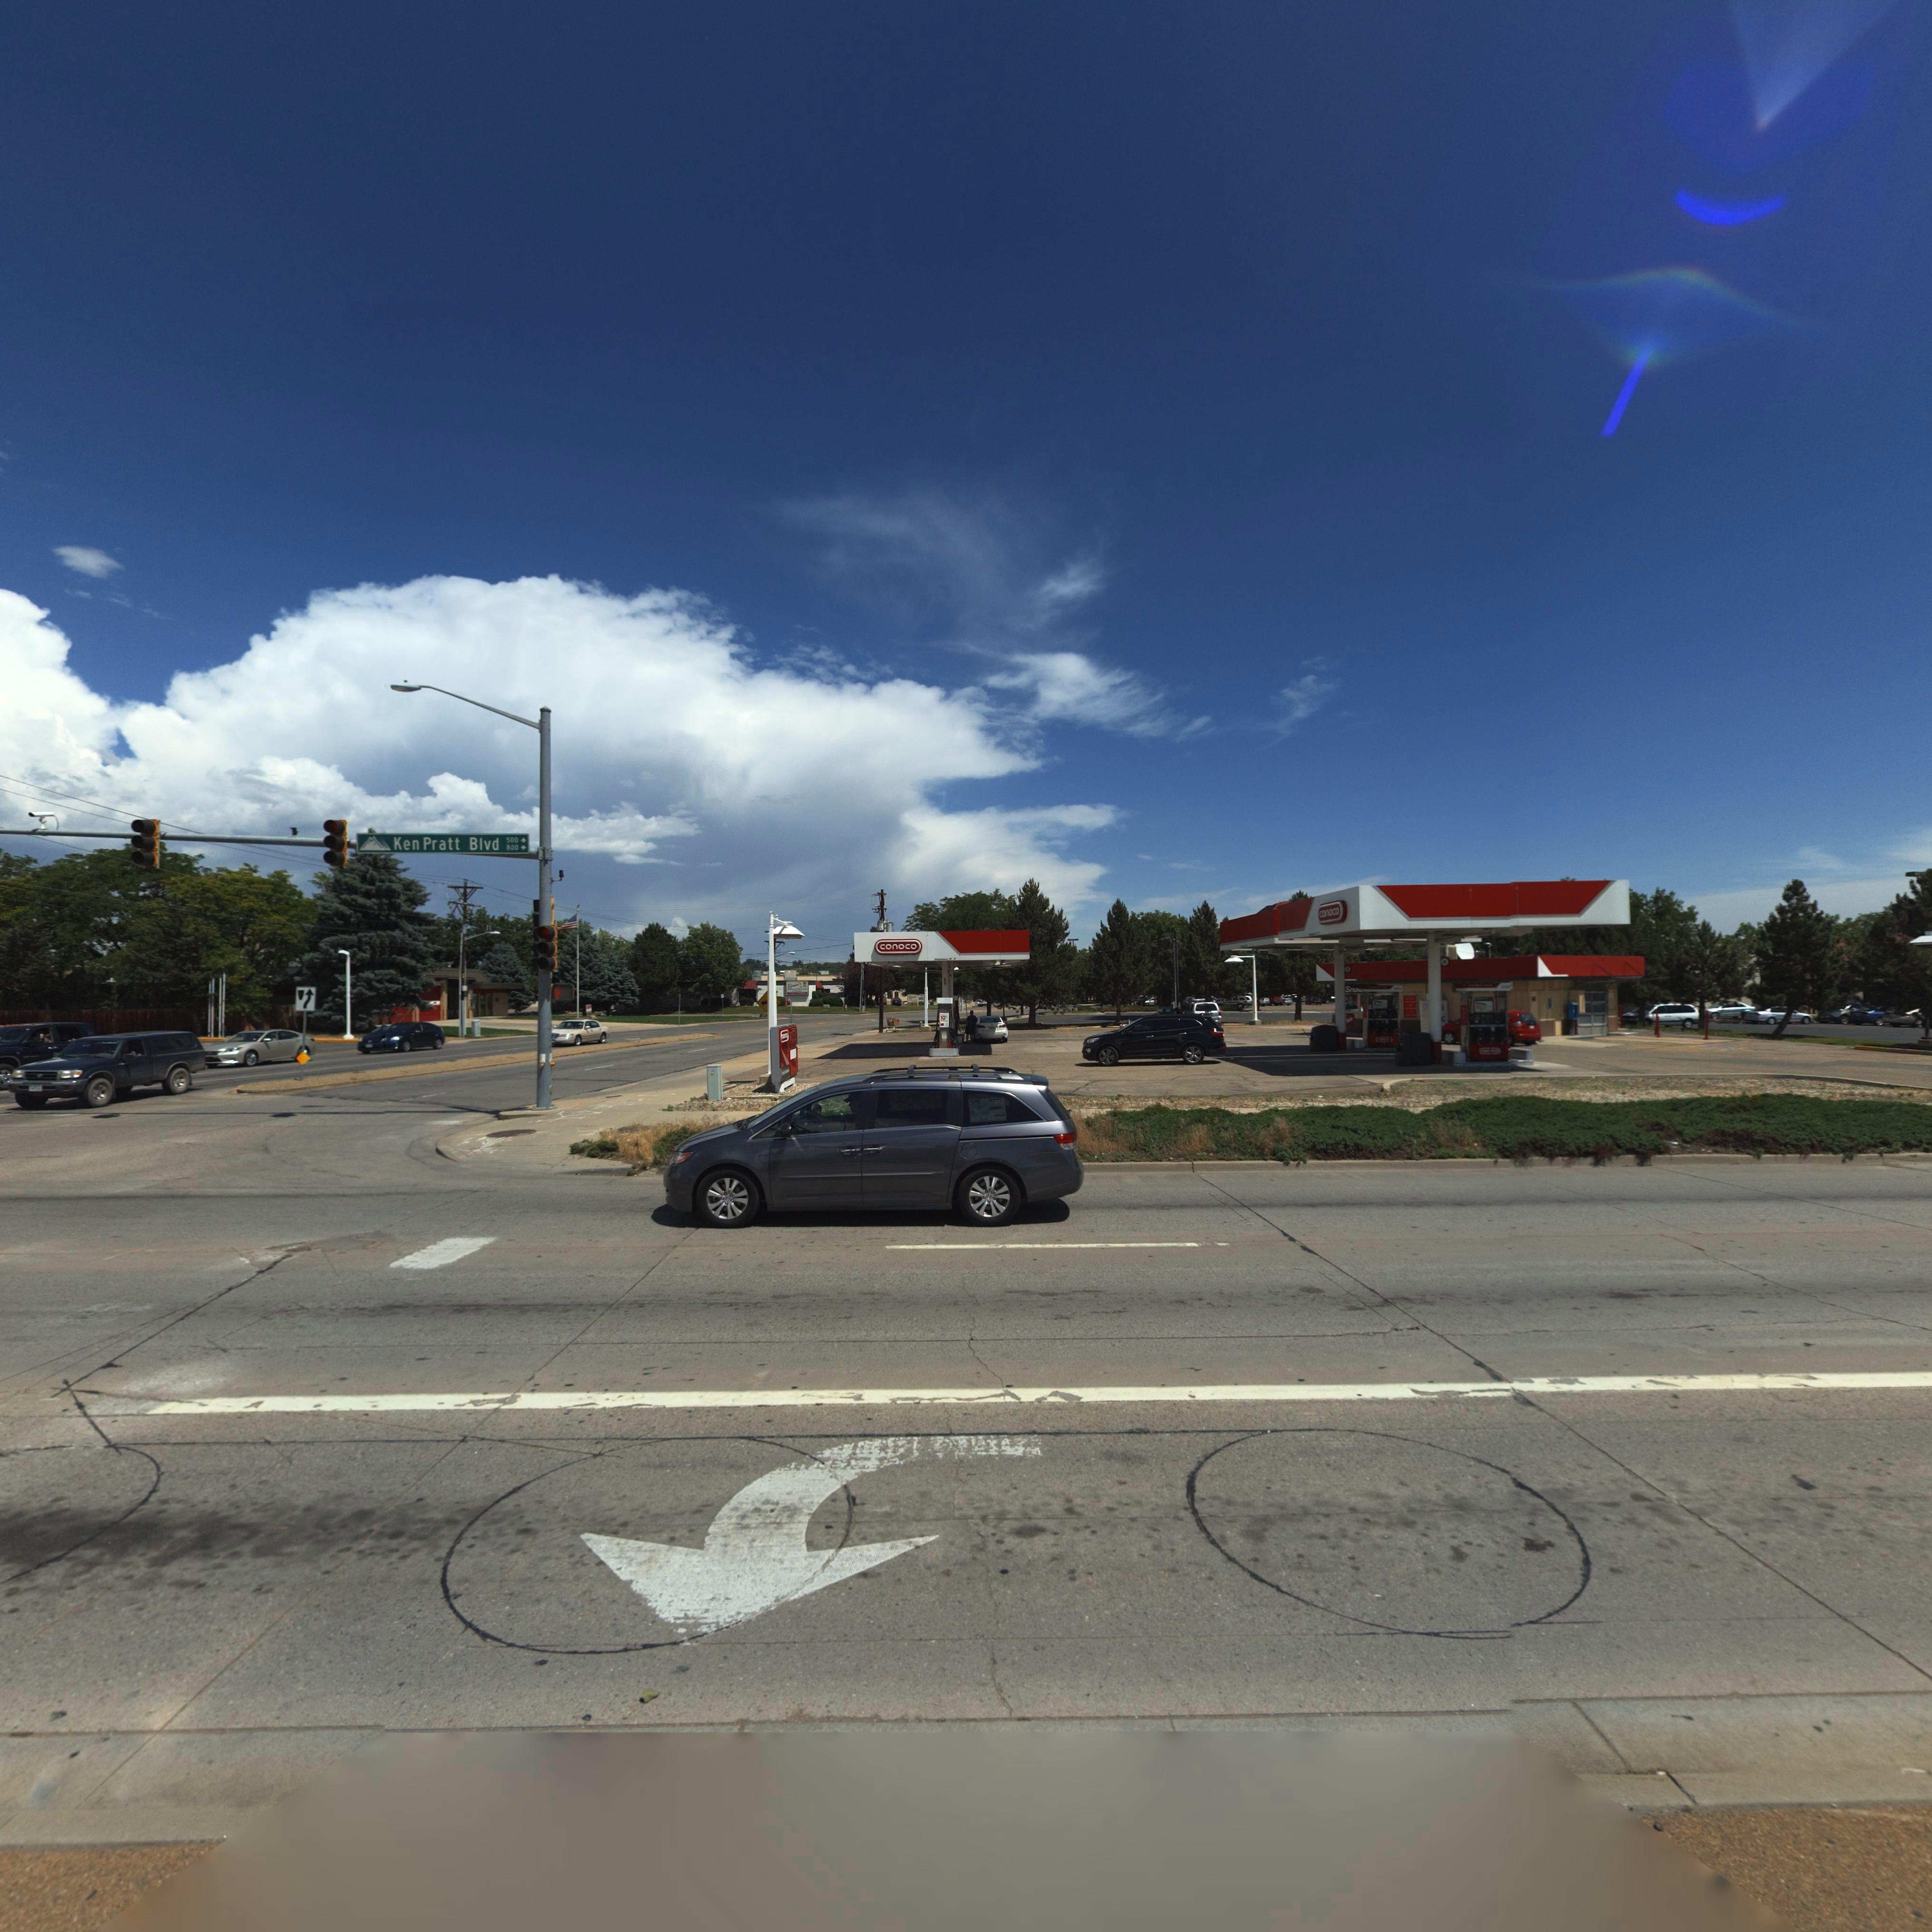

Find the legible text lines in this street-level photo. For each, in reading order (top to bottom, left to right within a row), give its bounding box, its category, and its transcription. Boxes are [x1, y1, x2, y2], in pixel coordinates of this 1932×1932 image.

[506, 837, 518, 843] StreetNumberRange: 500
[393, 836, 499, 850] StreetName: Ken Pratt Blvd
[506, 844, 526, 850] StreetNumberRange: 800 ->
[1319, 907, 1339, 918] BusinessName:  conoco
[879, 944, 917, 949] BusinessName: conoco